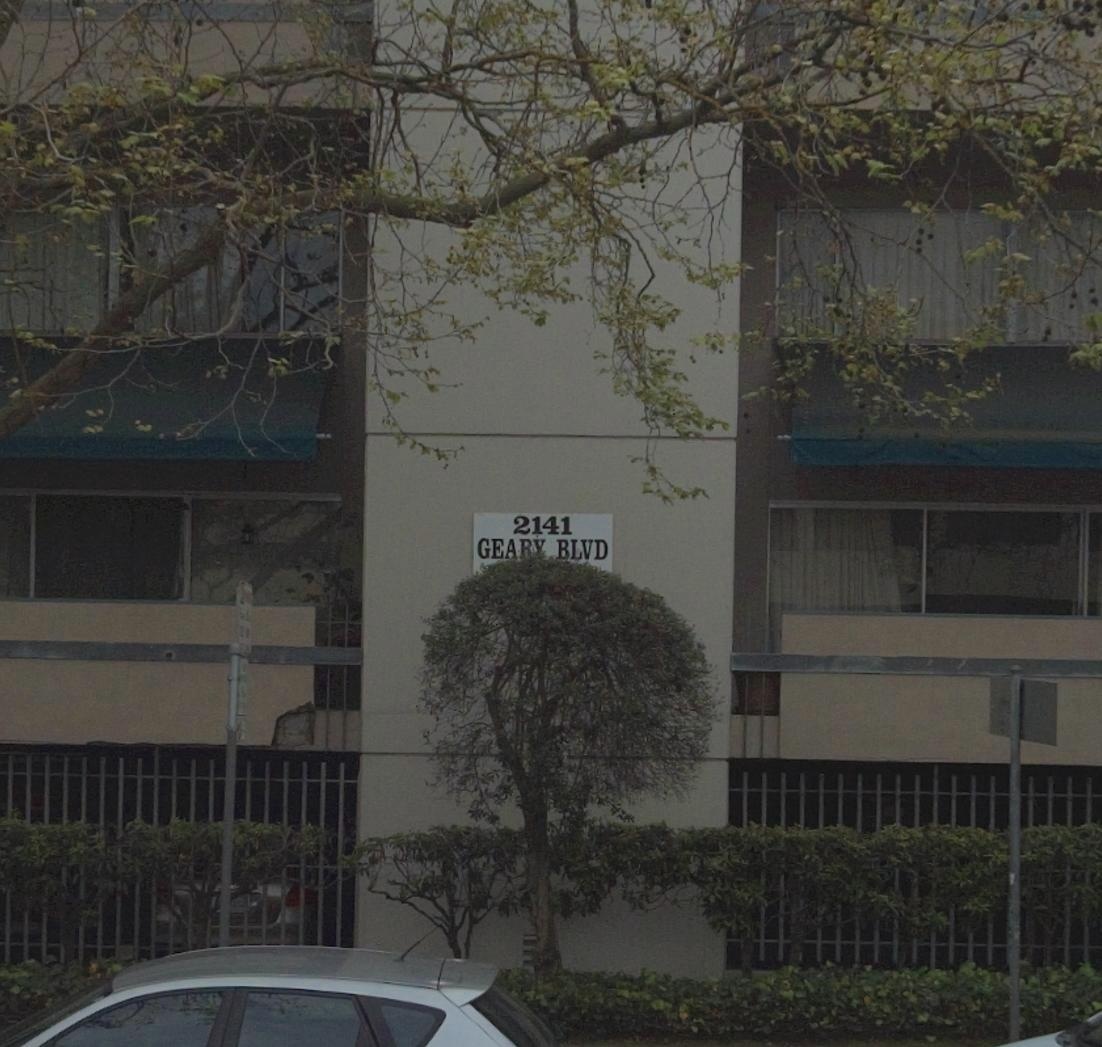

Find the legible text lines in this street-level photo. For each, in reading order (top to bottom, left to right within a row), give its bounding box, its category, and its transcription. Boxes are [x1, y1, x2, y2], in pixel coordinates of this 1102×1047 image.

[510, 513, 575, 538] StreetNumber: 2141
[474, 535, 611, 563] StreetName: GEAR* BLVD